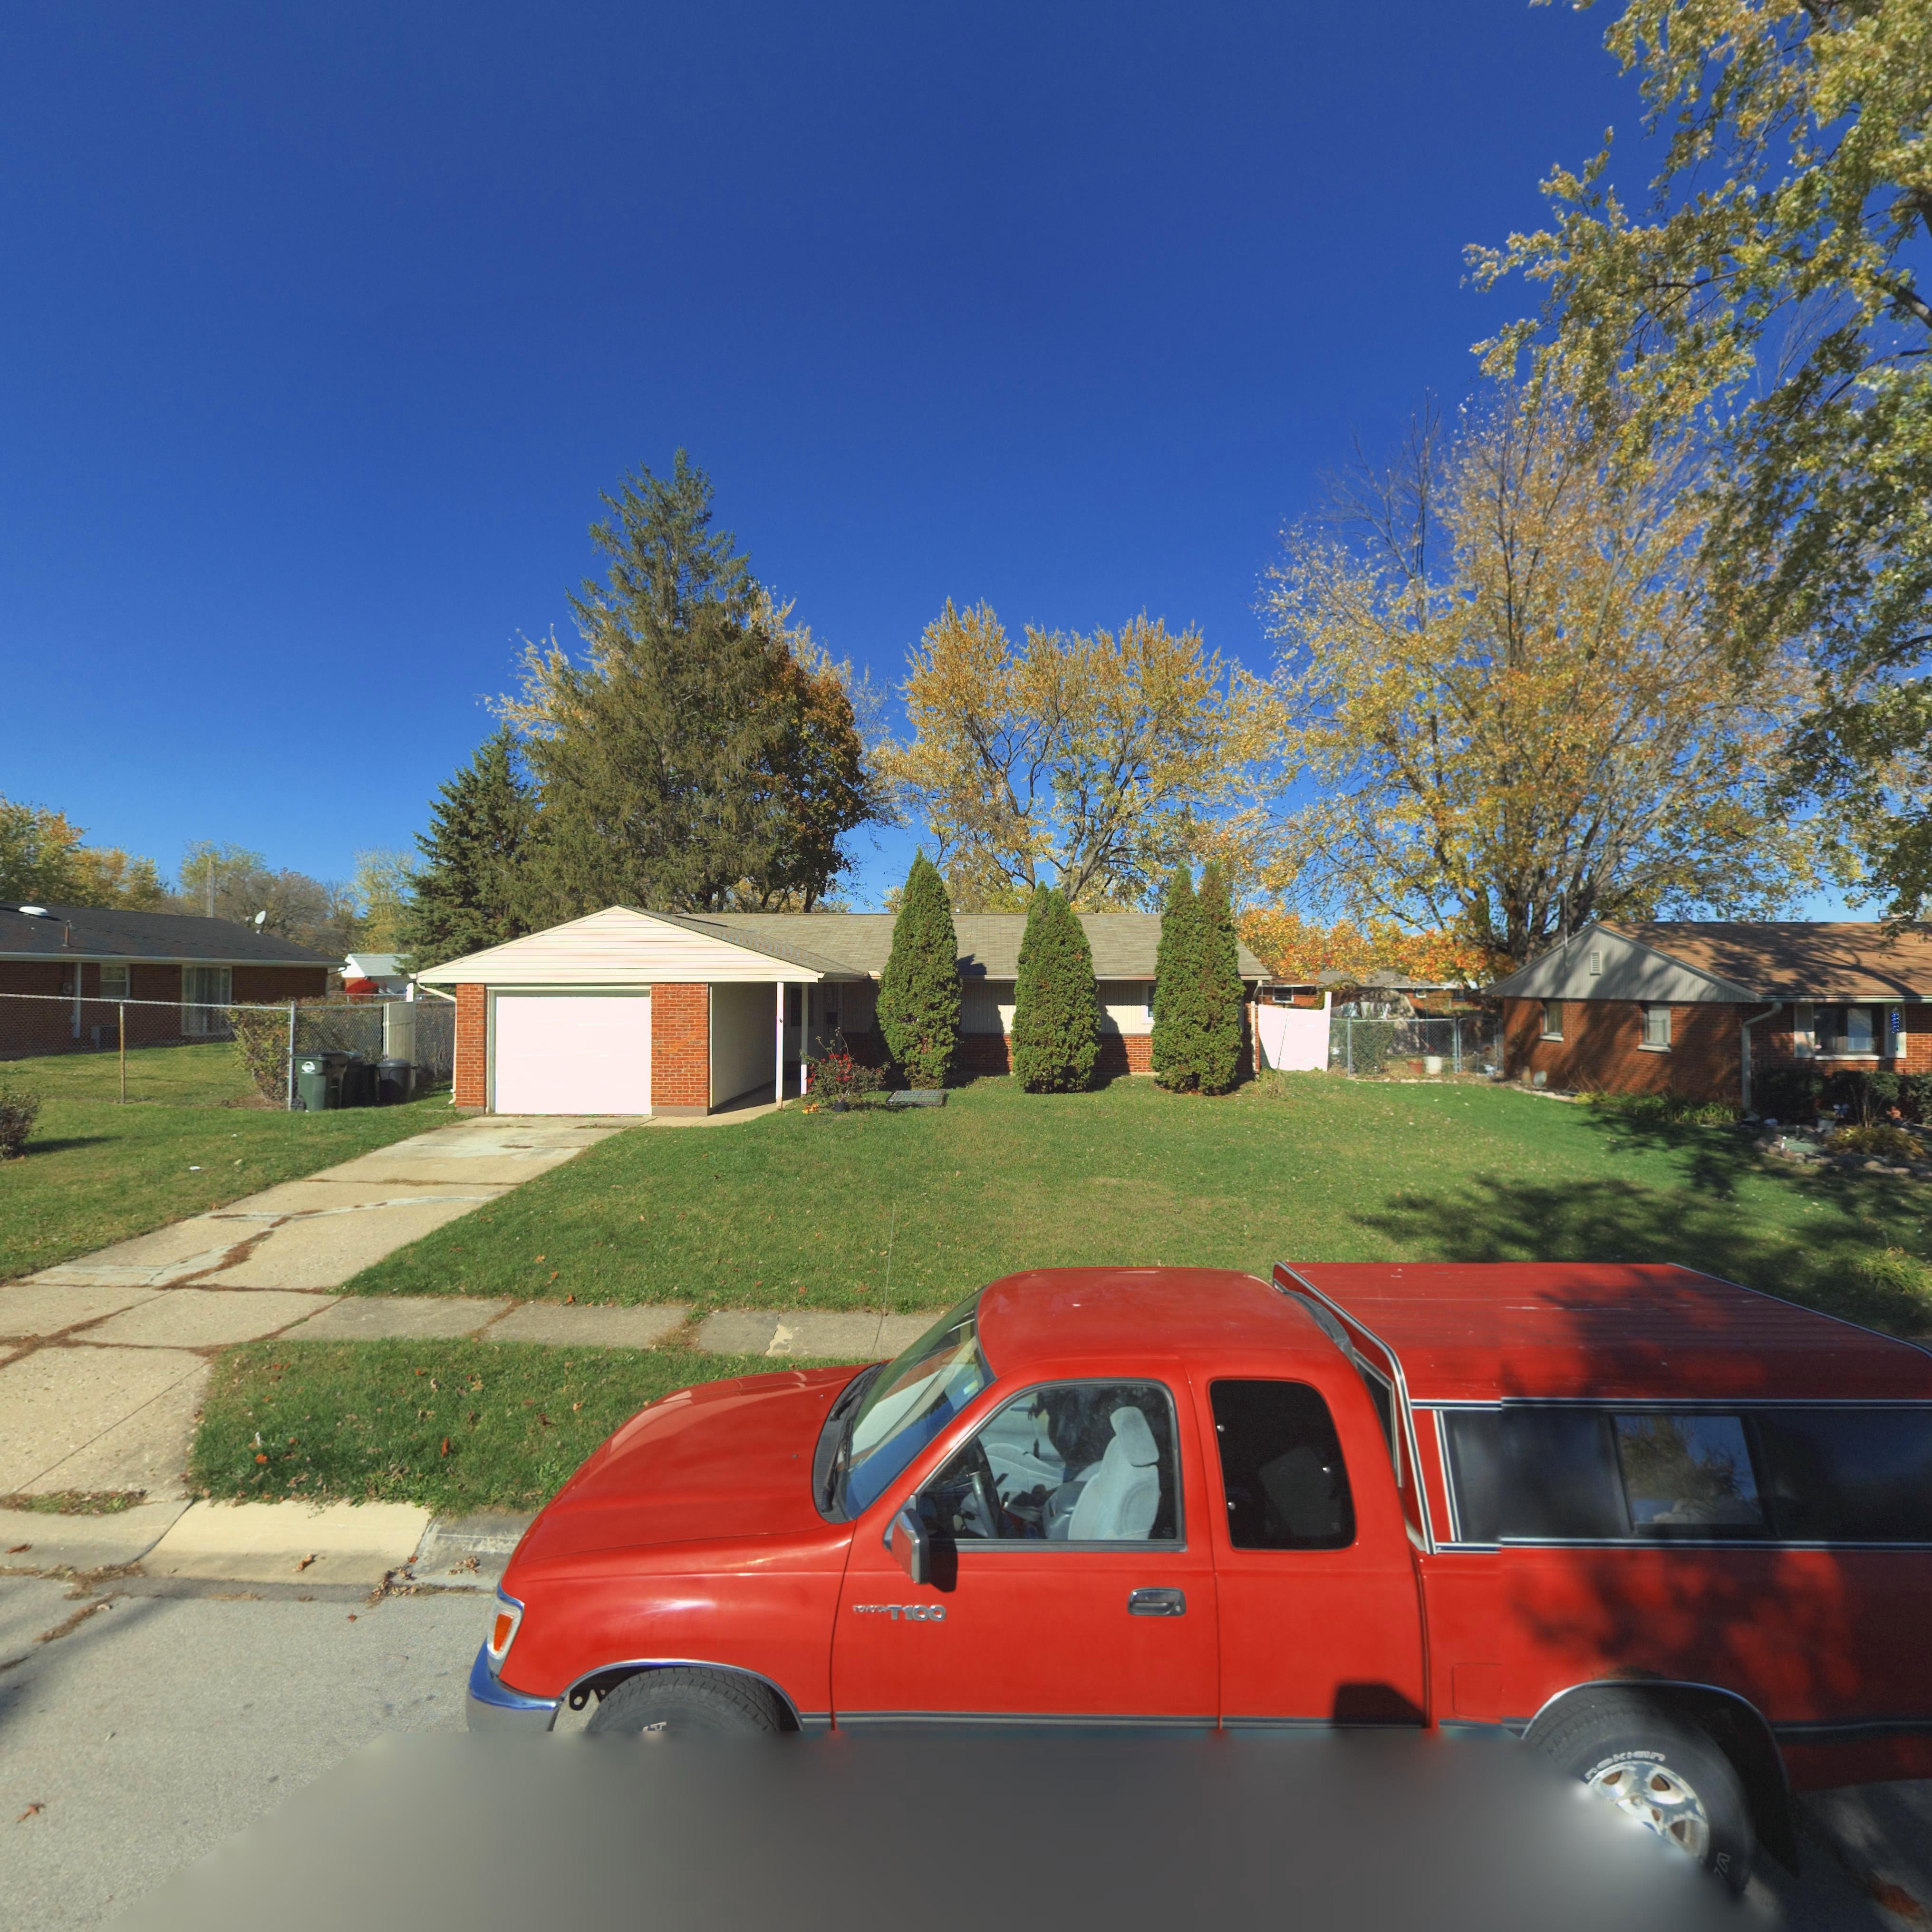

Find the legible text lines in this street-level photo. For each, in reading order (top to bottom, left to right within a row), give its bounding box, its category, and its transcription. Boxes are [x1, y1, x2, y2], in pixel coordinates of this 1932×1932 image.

[838, 1007, 842, 1021] StreetNumber: *02